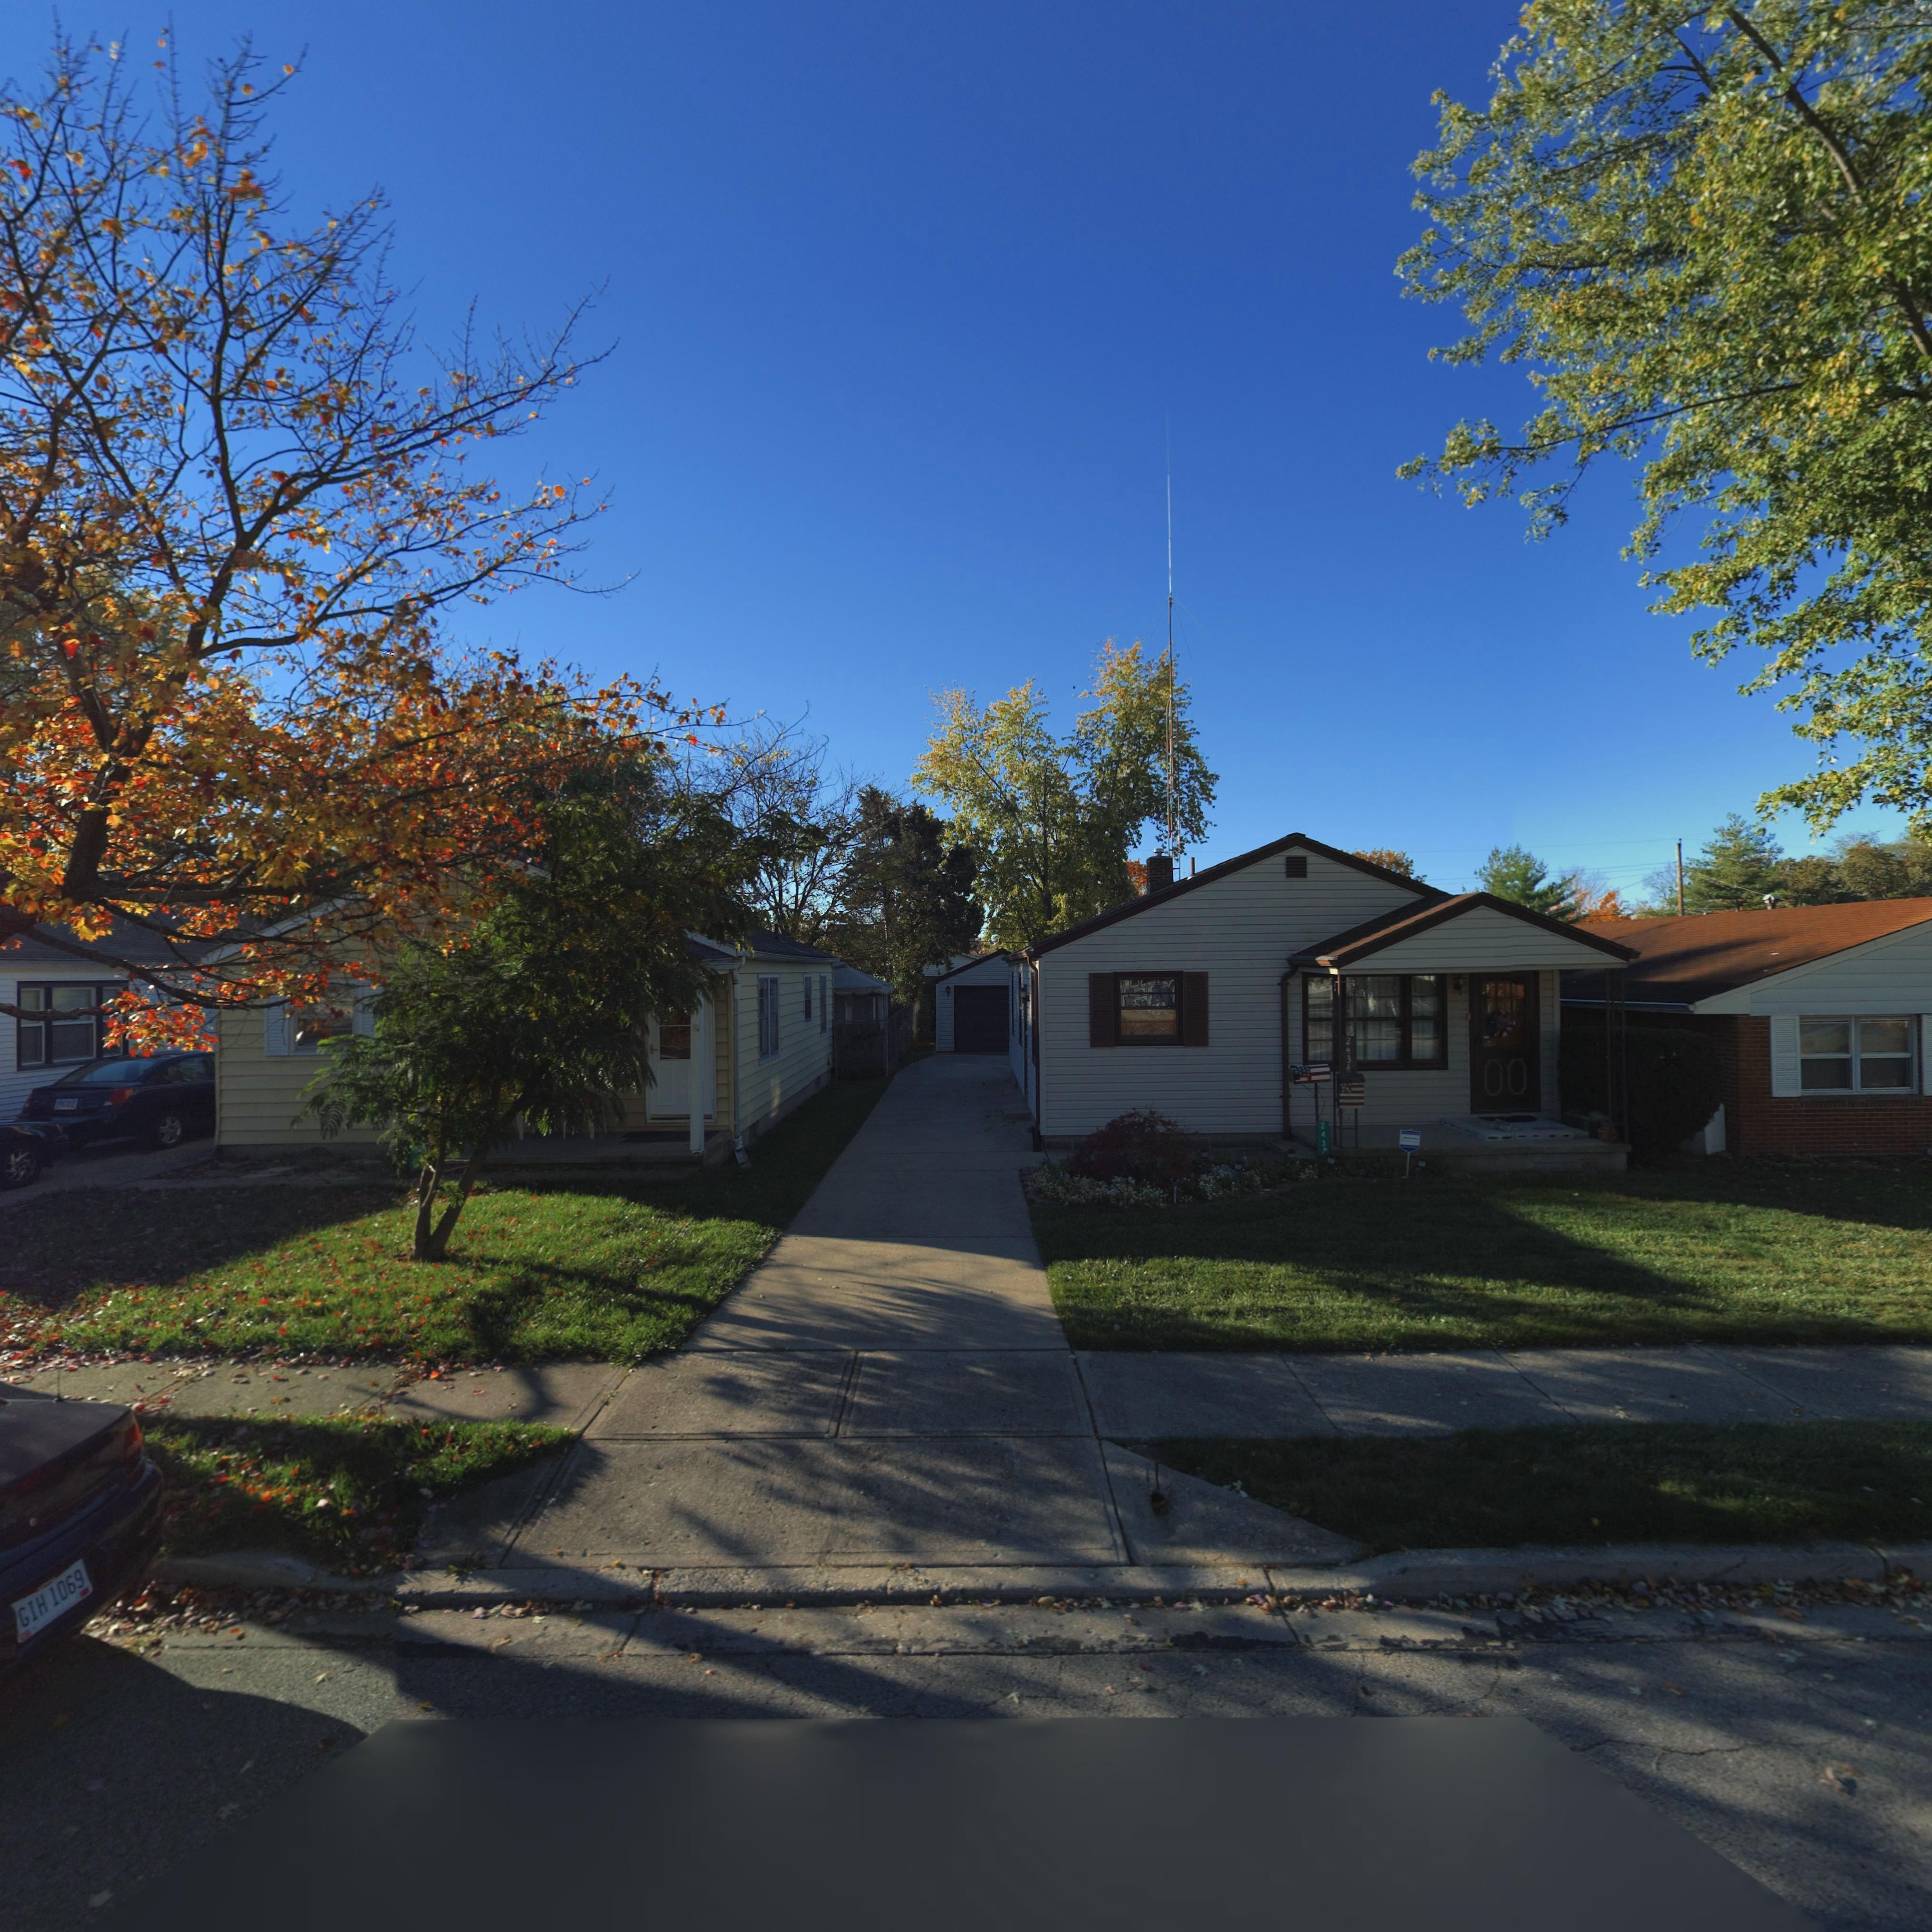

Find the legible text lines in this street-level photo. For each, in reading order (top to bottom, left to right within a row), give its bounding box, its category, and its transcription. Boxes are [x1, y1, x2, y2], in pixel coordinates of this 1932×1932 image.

[1345, 1036, 1352, 1073] StreetNumber: 2434
[1320, 1121, 1328, 1155] StreetNumber: 2434